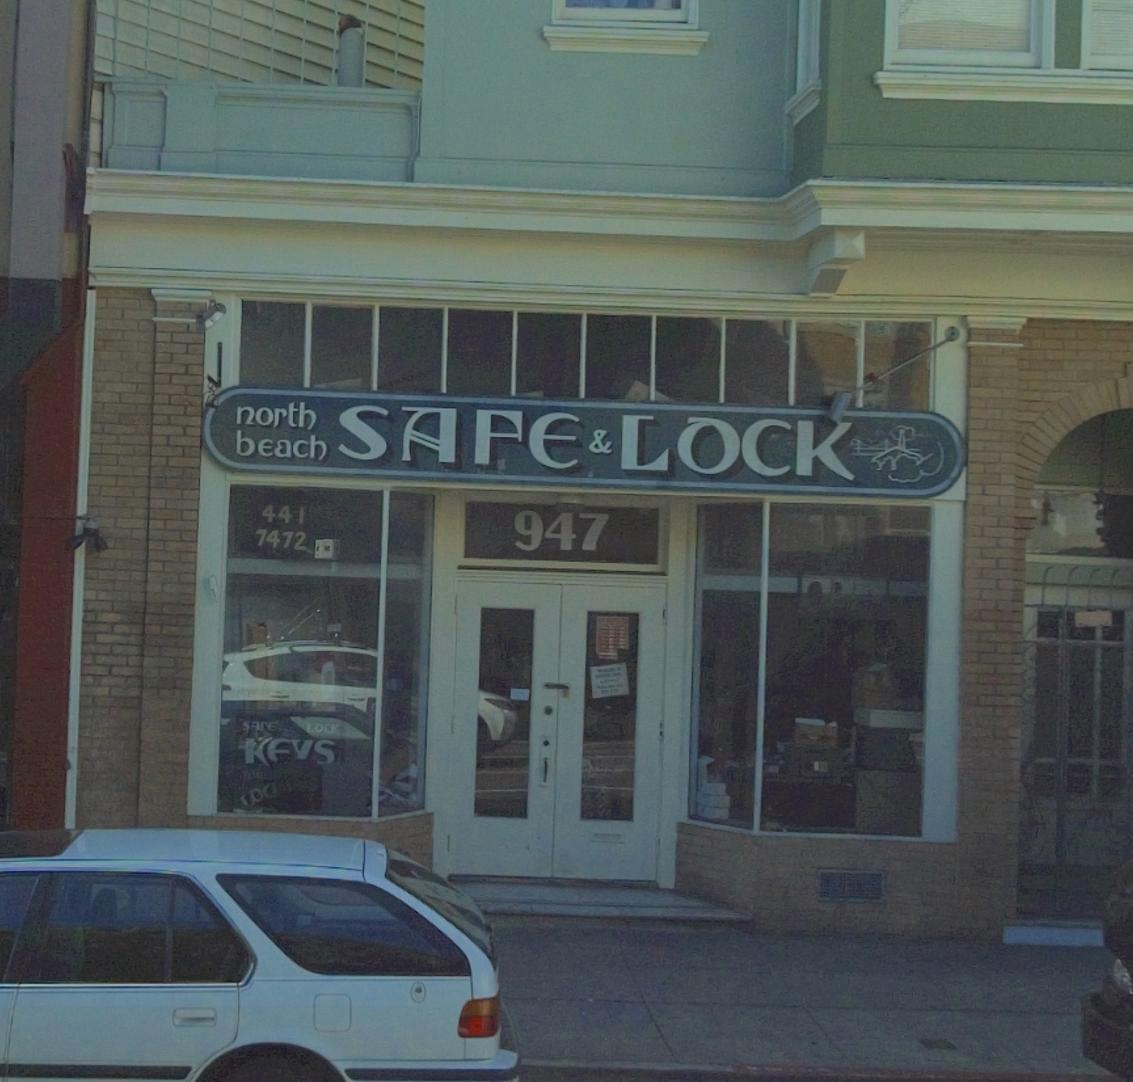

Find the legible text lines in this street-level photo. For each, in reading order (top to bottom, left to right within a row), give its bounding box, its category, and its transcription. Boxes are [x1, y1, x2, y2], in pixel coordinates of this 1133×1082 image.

[234, 398, 320, 433] BusinessName: north
[234, 429, 330, 463] BusinessName: beach
[336, 402, 858, 484] BusinessName: SAFE&LOCK
[253, 527, 310, 552] None: 7472
[259, 502, 307, 527] None: 441
[510, 508, 612, 553] StreetNumber: 947
[241, 719, 342, 736] None: SA***LOCK
[242, 735, 338, 768] None: K**S
[247, 779, 281, 806] None: O*